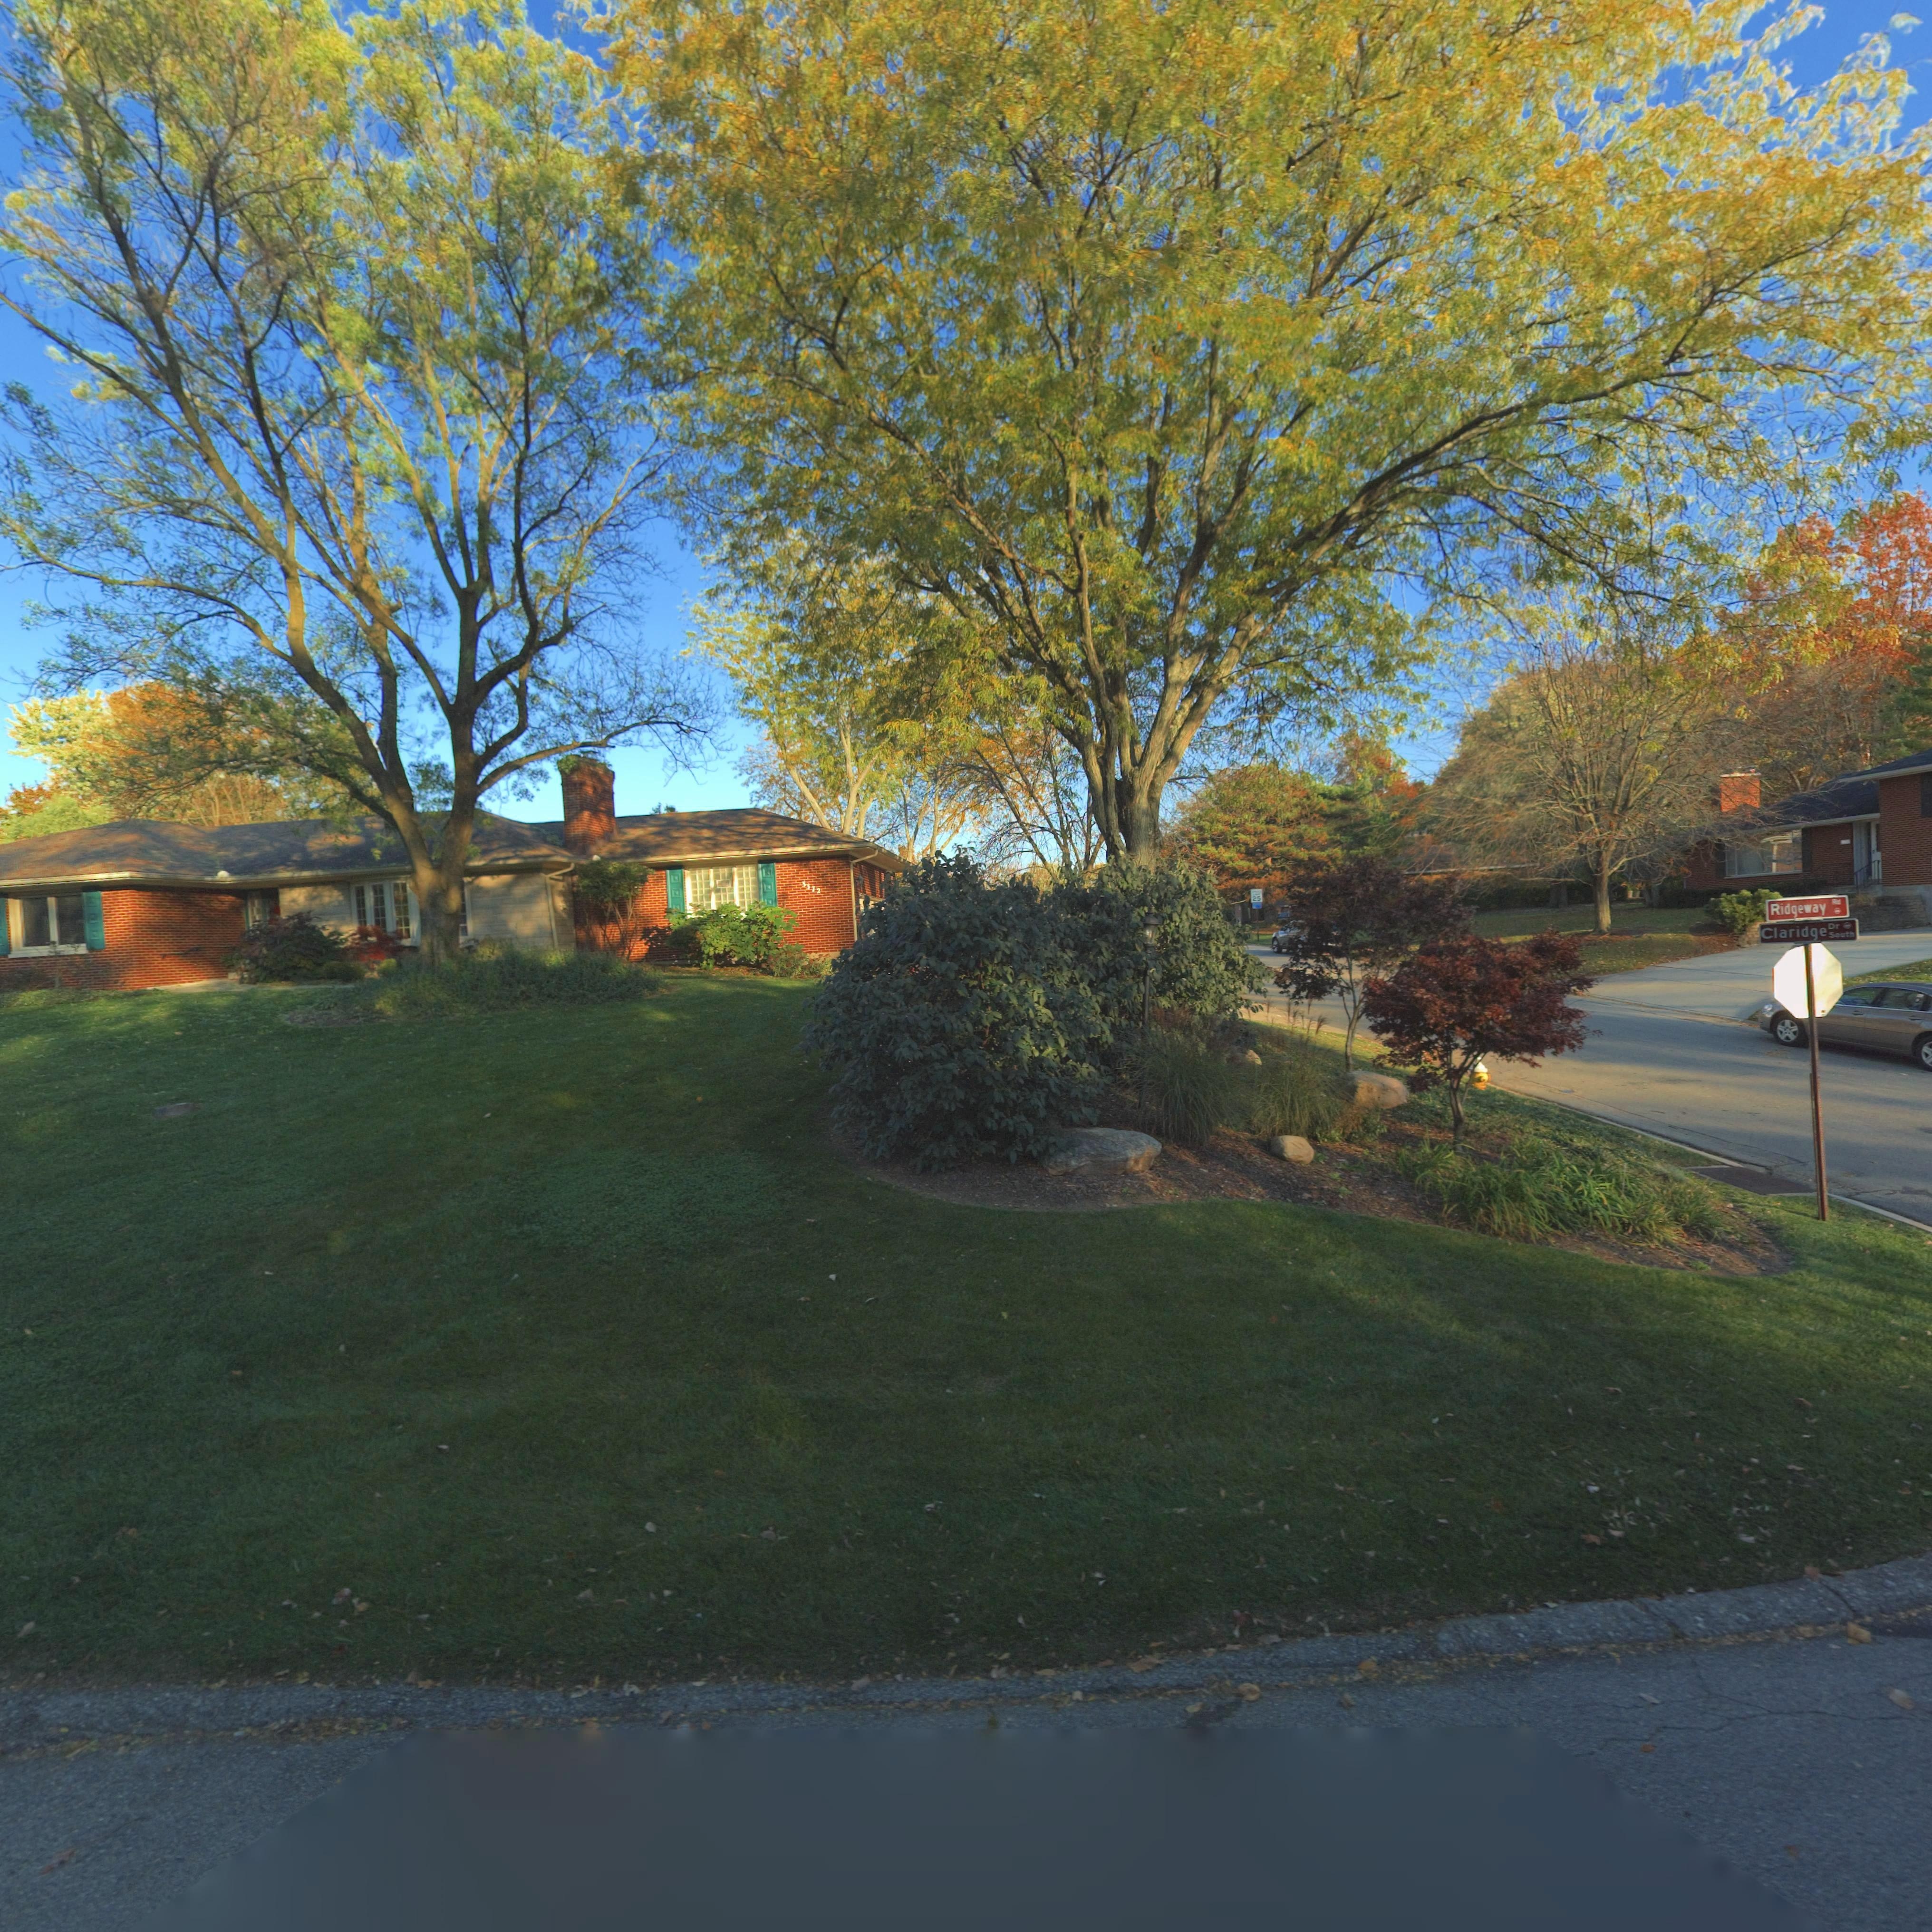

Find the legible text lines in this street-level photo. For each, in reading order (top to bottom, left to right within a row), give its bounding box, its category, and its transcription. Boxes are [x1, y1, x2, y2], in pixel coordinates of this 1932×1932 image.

[802, 881, 821, 894] StreetNumber: 3372
[1769, 898, 1842, 919] StreetName: Ridgeway Rd
[1759, 922, 1841, 941] StreetName: Claridge Dr
[1827, 930, 1855, 938] StreetName: South